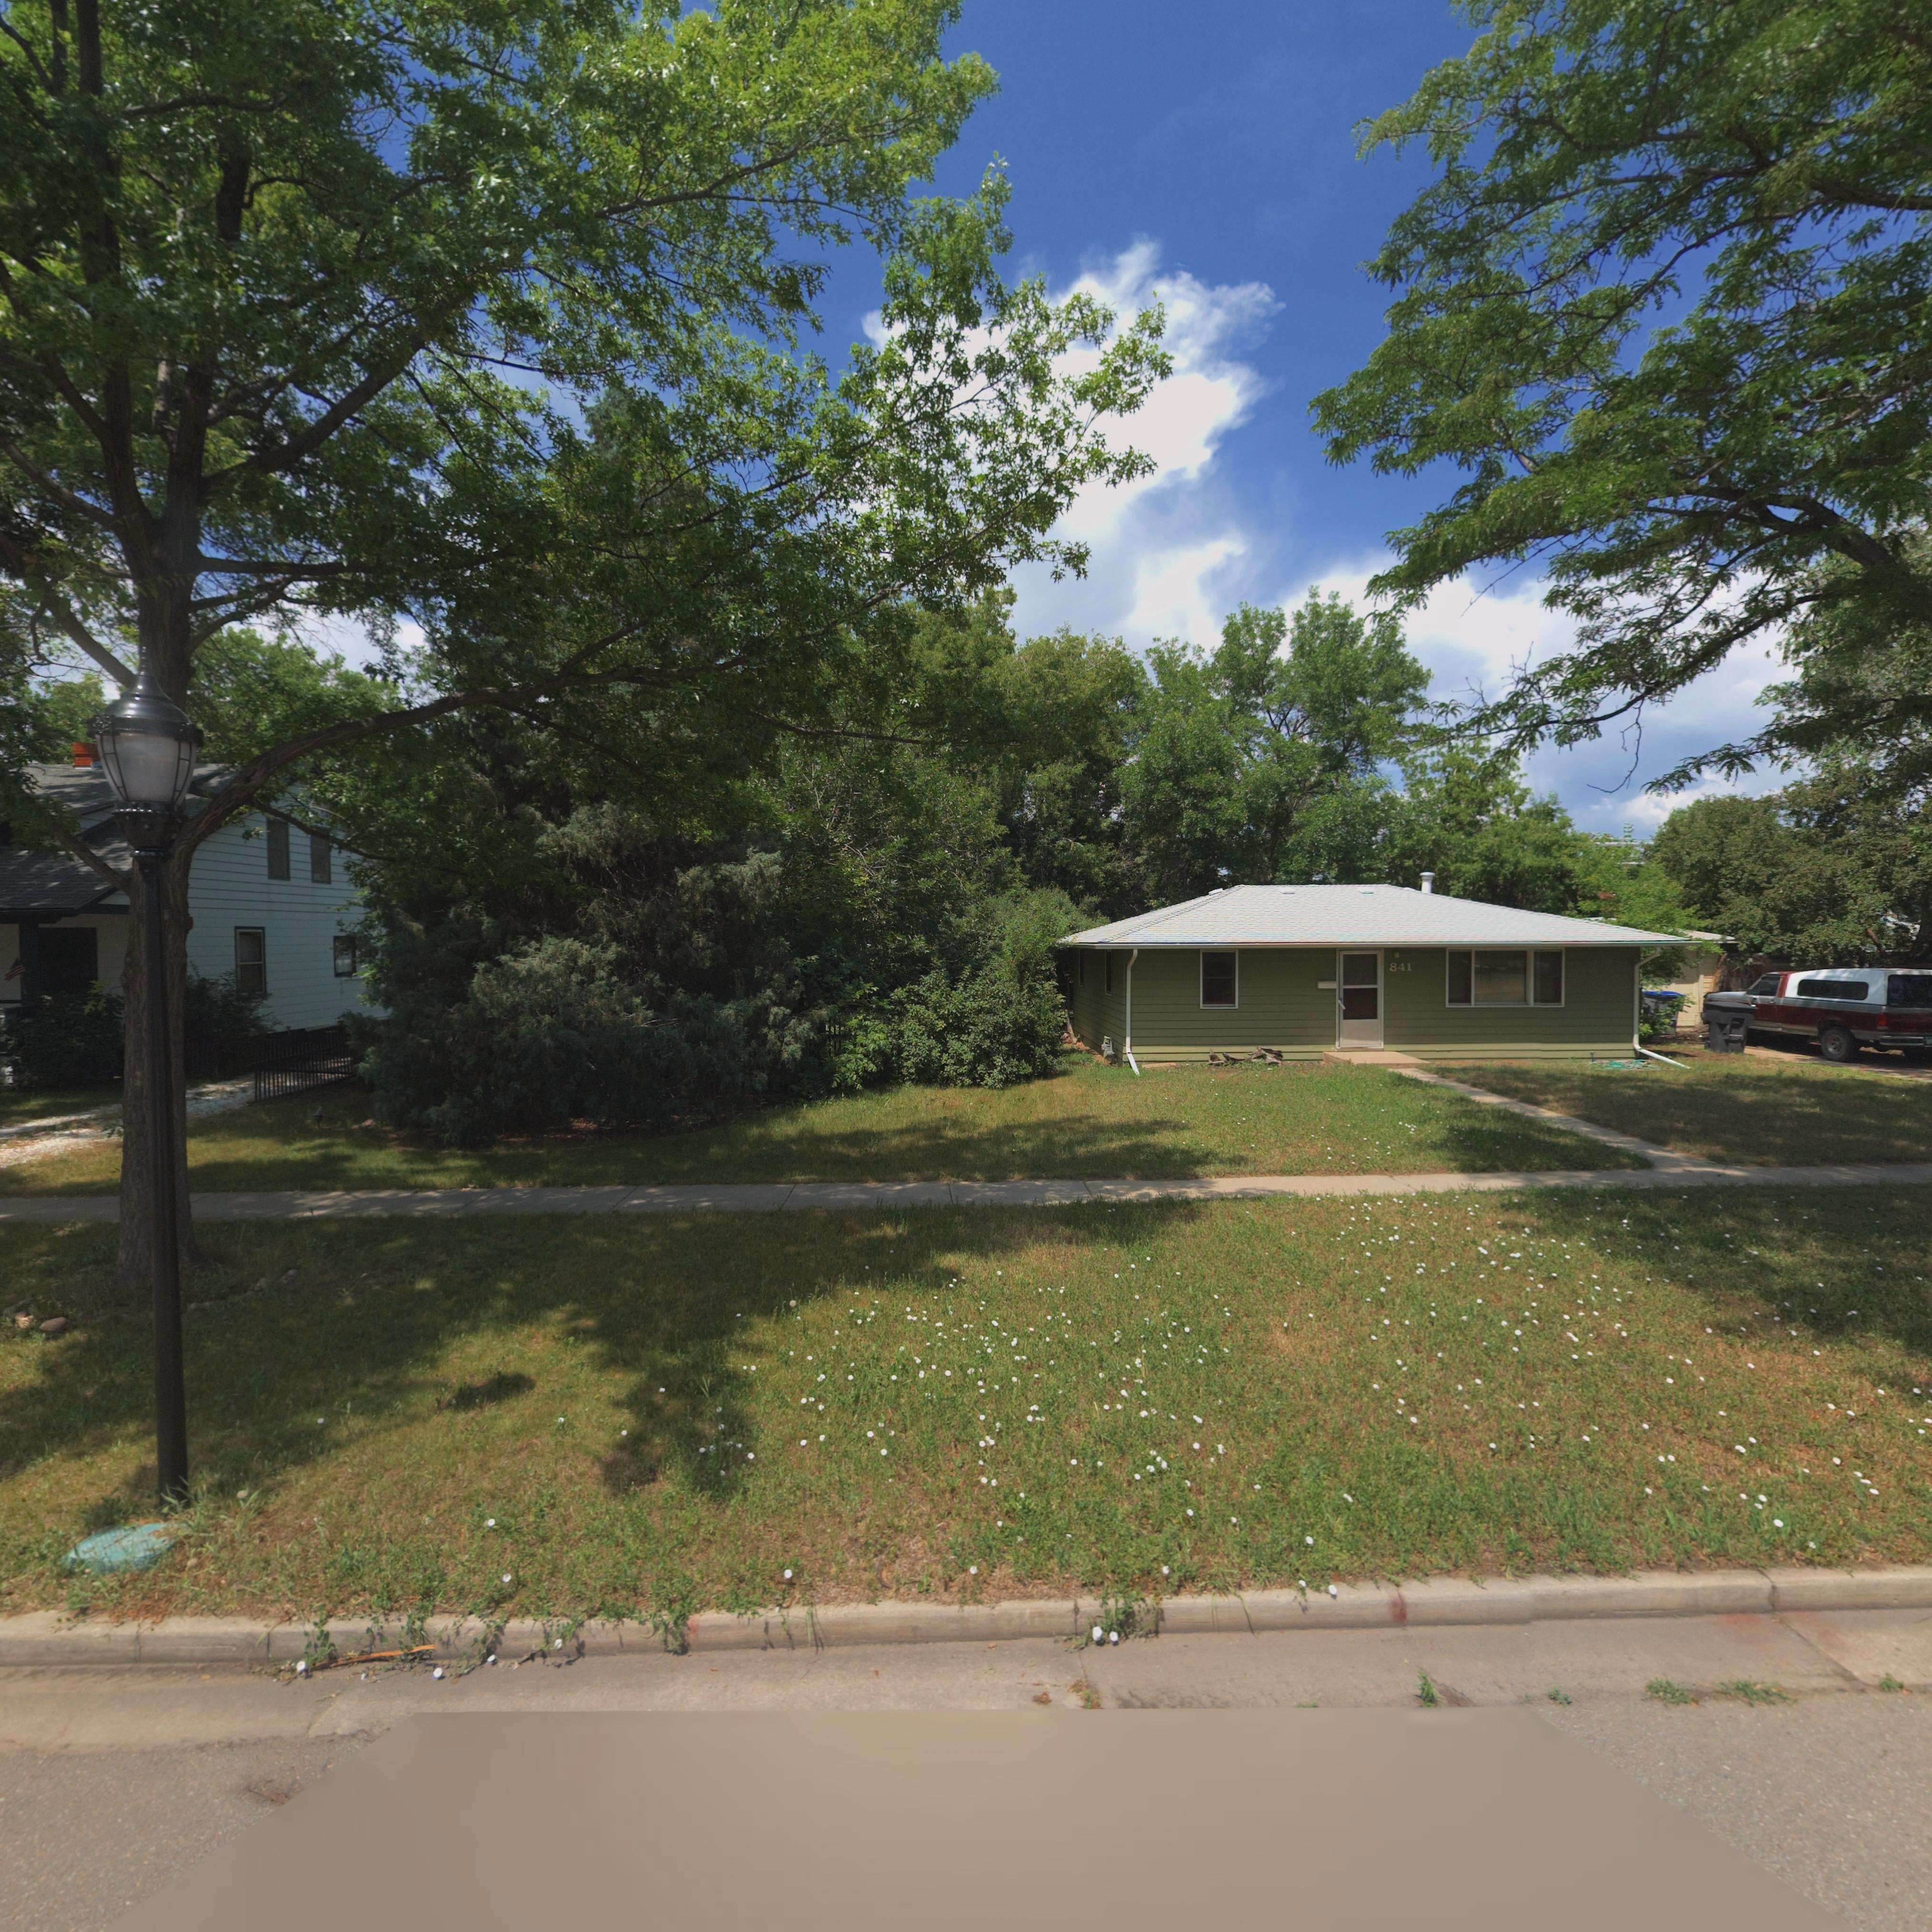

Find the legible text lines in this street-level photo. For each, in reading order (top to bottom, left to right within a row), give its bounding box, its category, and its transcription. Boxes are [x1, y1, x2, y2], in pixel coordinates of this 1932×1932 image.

[1389, 962, 1411, 972] StreetNumber: 841